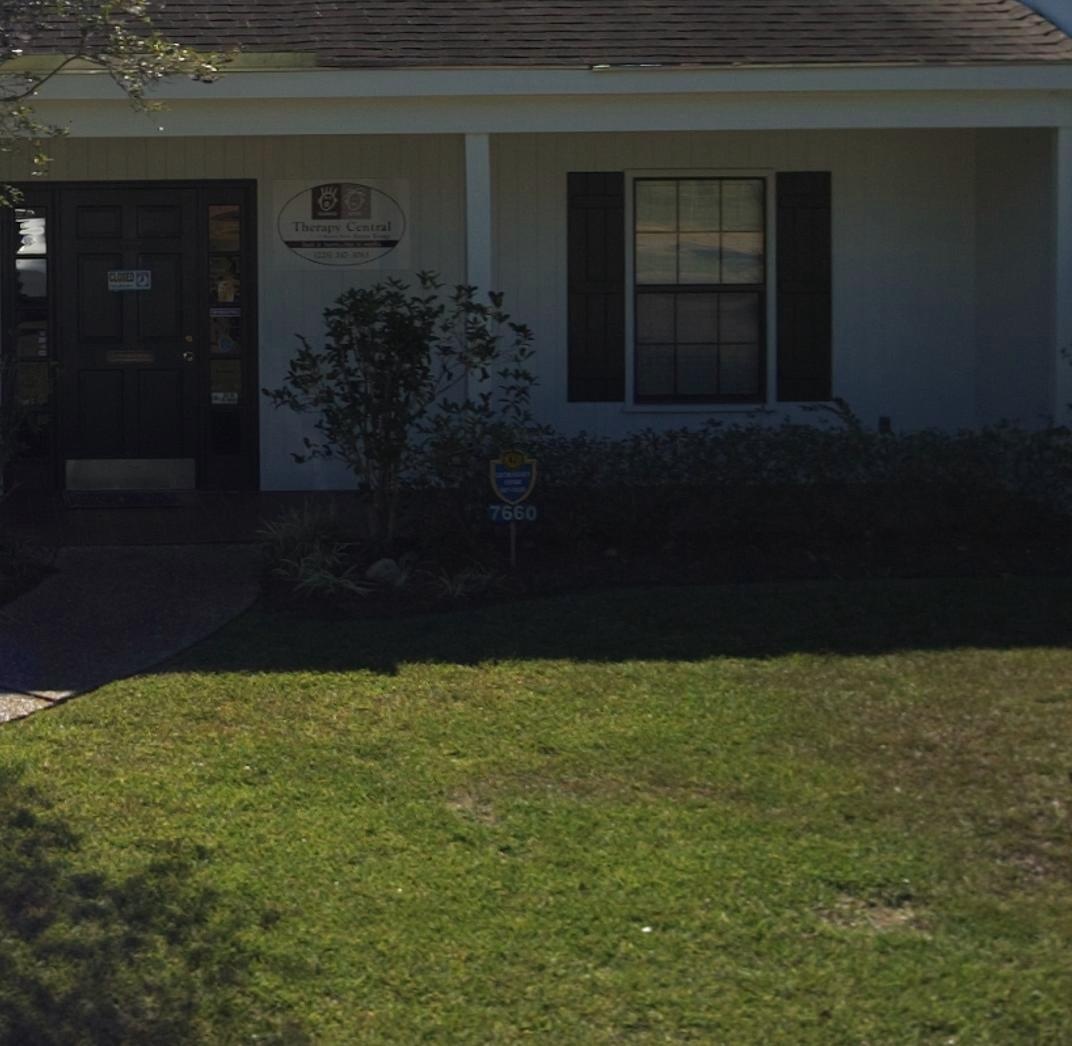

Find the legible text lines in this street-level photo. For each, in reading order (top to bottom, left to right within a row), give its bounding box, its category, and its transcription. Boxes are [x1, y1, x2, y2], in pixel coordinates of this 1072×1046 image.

[292, 218, 394, 236] BusinessName: Therapy Central
[107, 270, 137, 283] None: CLOSED
[487, 501, 540, 525] StreetNumber: 7660